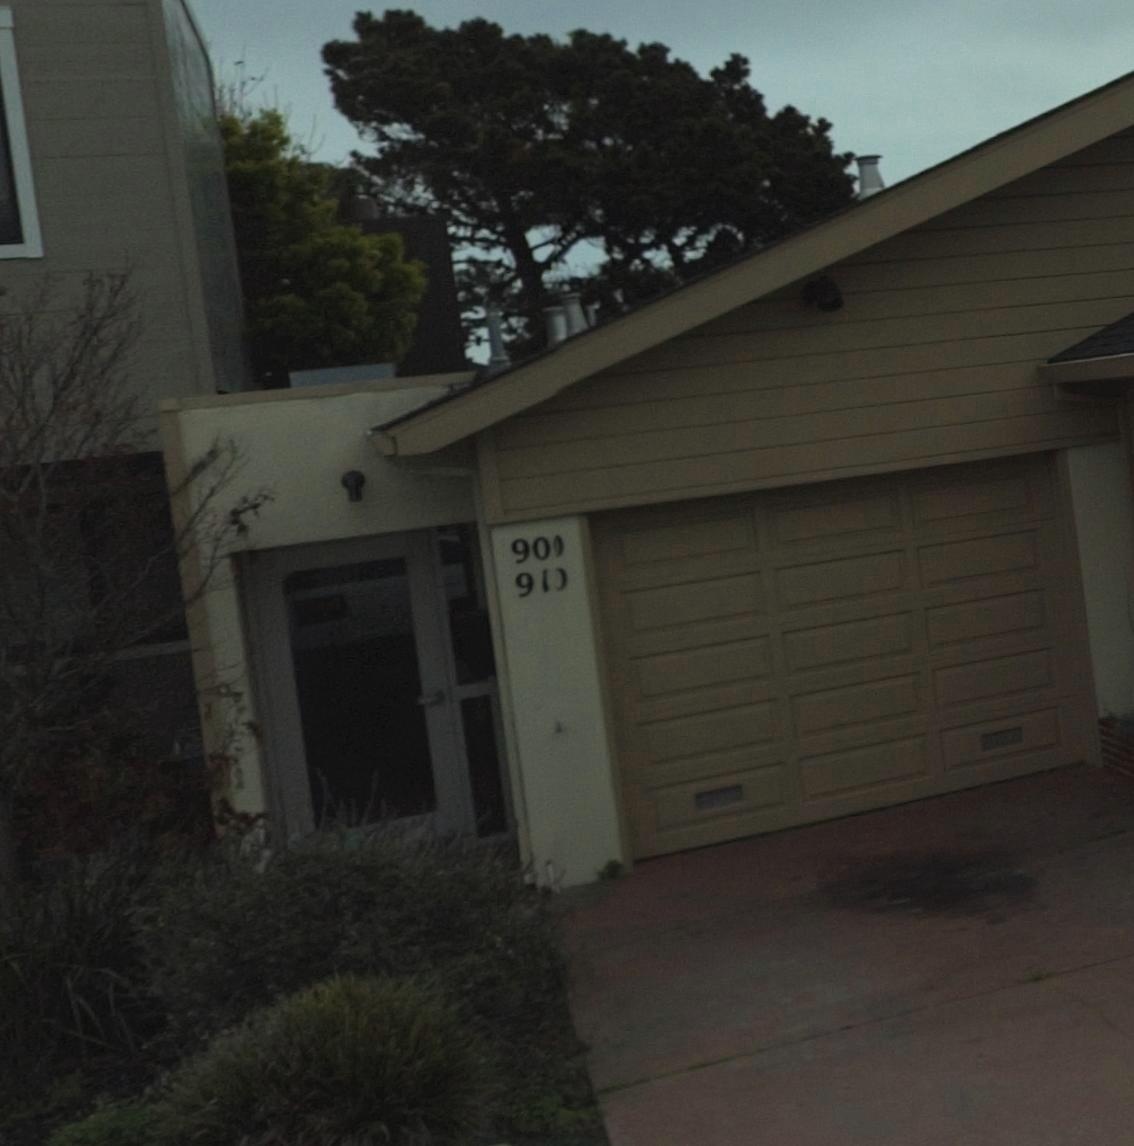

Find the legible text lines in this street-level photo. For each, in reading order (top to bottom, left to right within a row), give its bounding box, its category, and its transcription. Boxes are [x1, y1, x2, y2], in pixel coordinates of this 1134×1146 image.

[508, 528, 568, 567] StreetNumber: 90*
[512, 563, 571, 600] StreetNumber: 91*